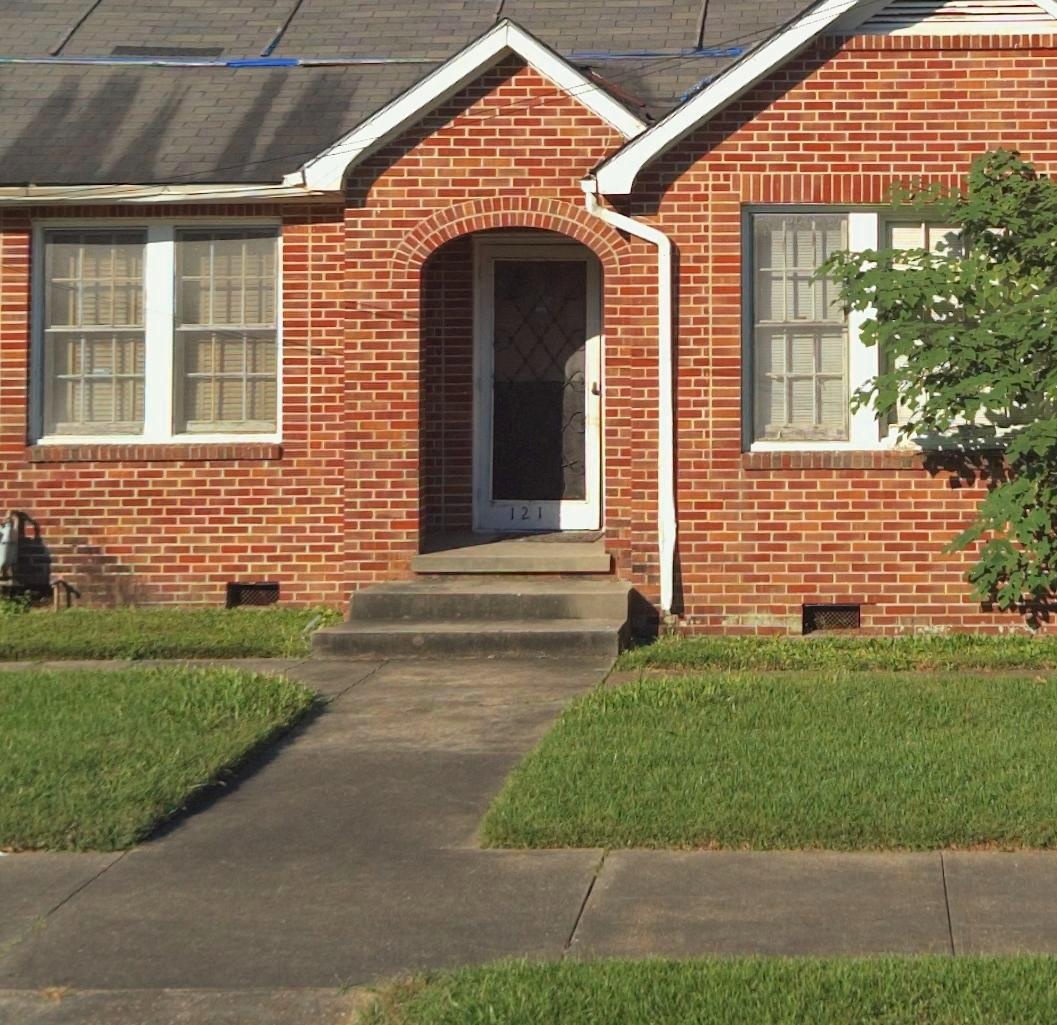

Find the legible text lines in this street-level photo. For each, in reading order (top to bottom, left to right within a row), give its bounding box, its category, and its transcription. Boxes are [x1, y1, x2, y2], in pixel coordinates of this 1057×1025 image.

[509, 503, 547, 523] StreetNumber: 121